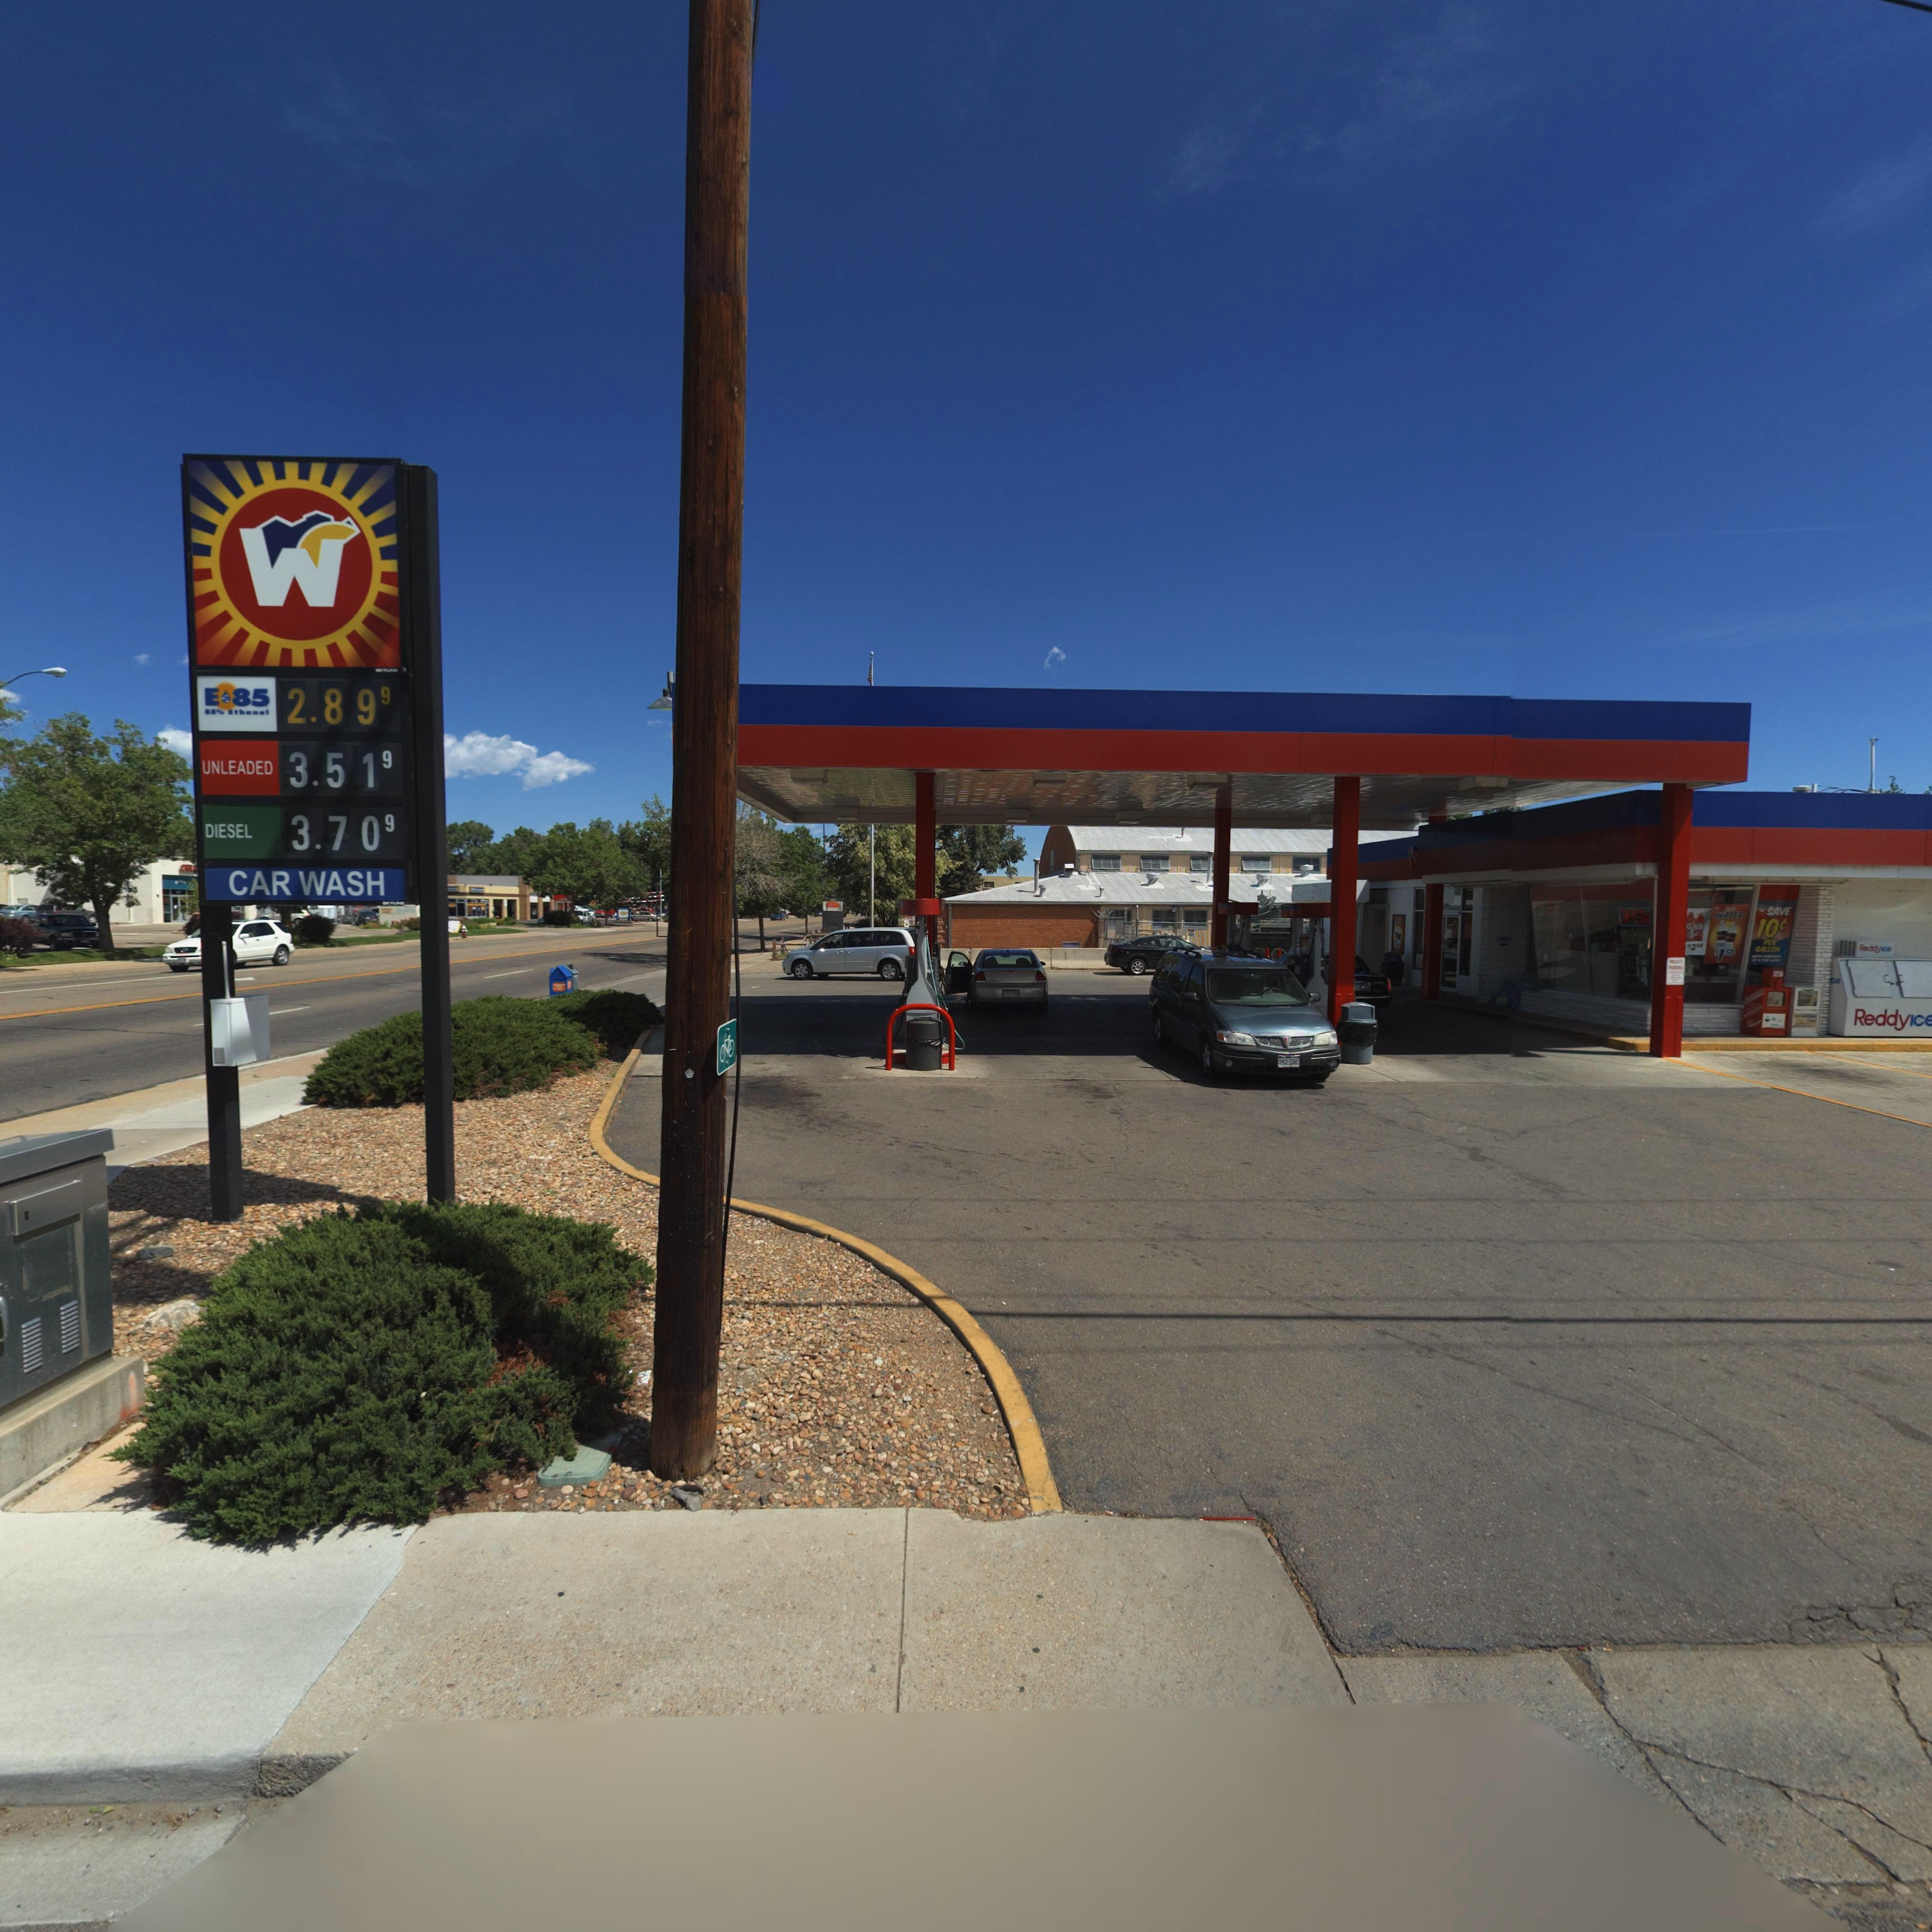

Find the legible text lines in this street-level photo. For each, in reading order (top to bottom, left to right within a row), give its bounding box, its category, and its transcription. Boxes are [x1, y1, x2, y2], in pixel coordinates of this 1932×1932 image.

[180, 864, 193, 872] BusinessName: CHE